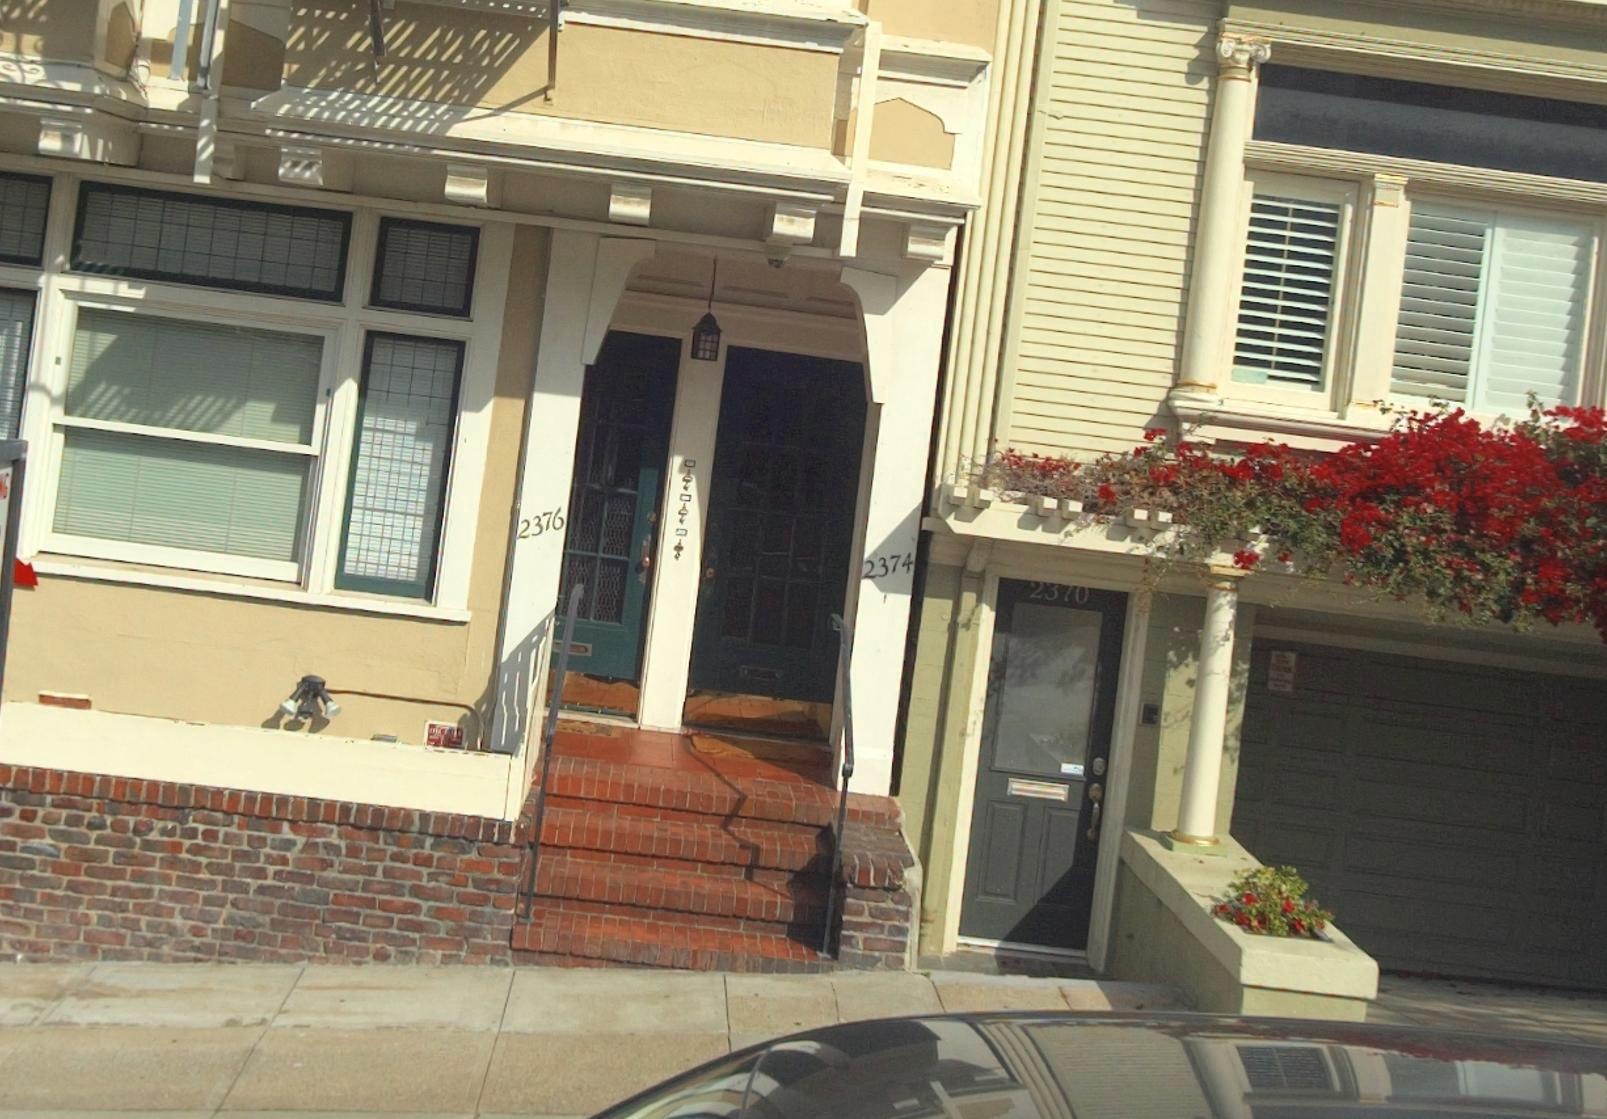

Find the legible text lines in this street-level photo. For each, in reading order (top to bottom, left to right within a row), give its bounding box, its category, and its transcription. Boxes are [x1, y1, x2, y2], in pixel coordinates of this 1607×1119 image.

[514, 503, 568, 544] StreetNumber: 2376
[857, 549, 915, 583] StreetNumber: 2374
[1027, 578, 1090, 607] StreetNumber: 2370